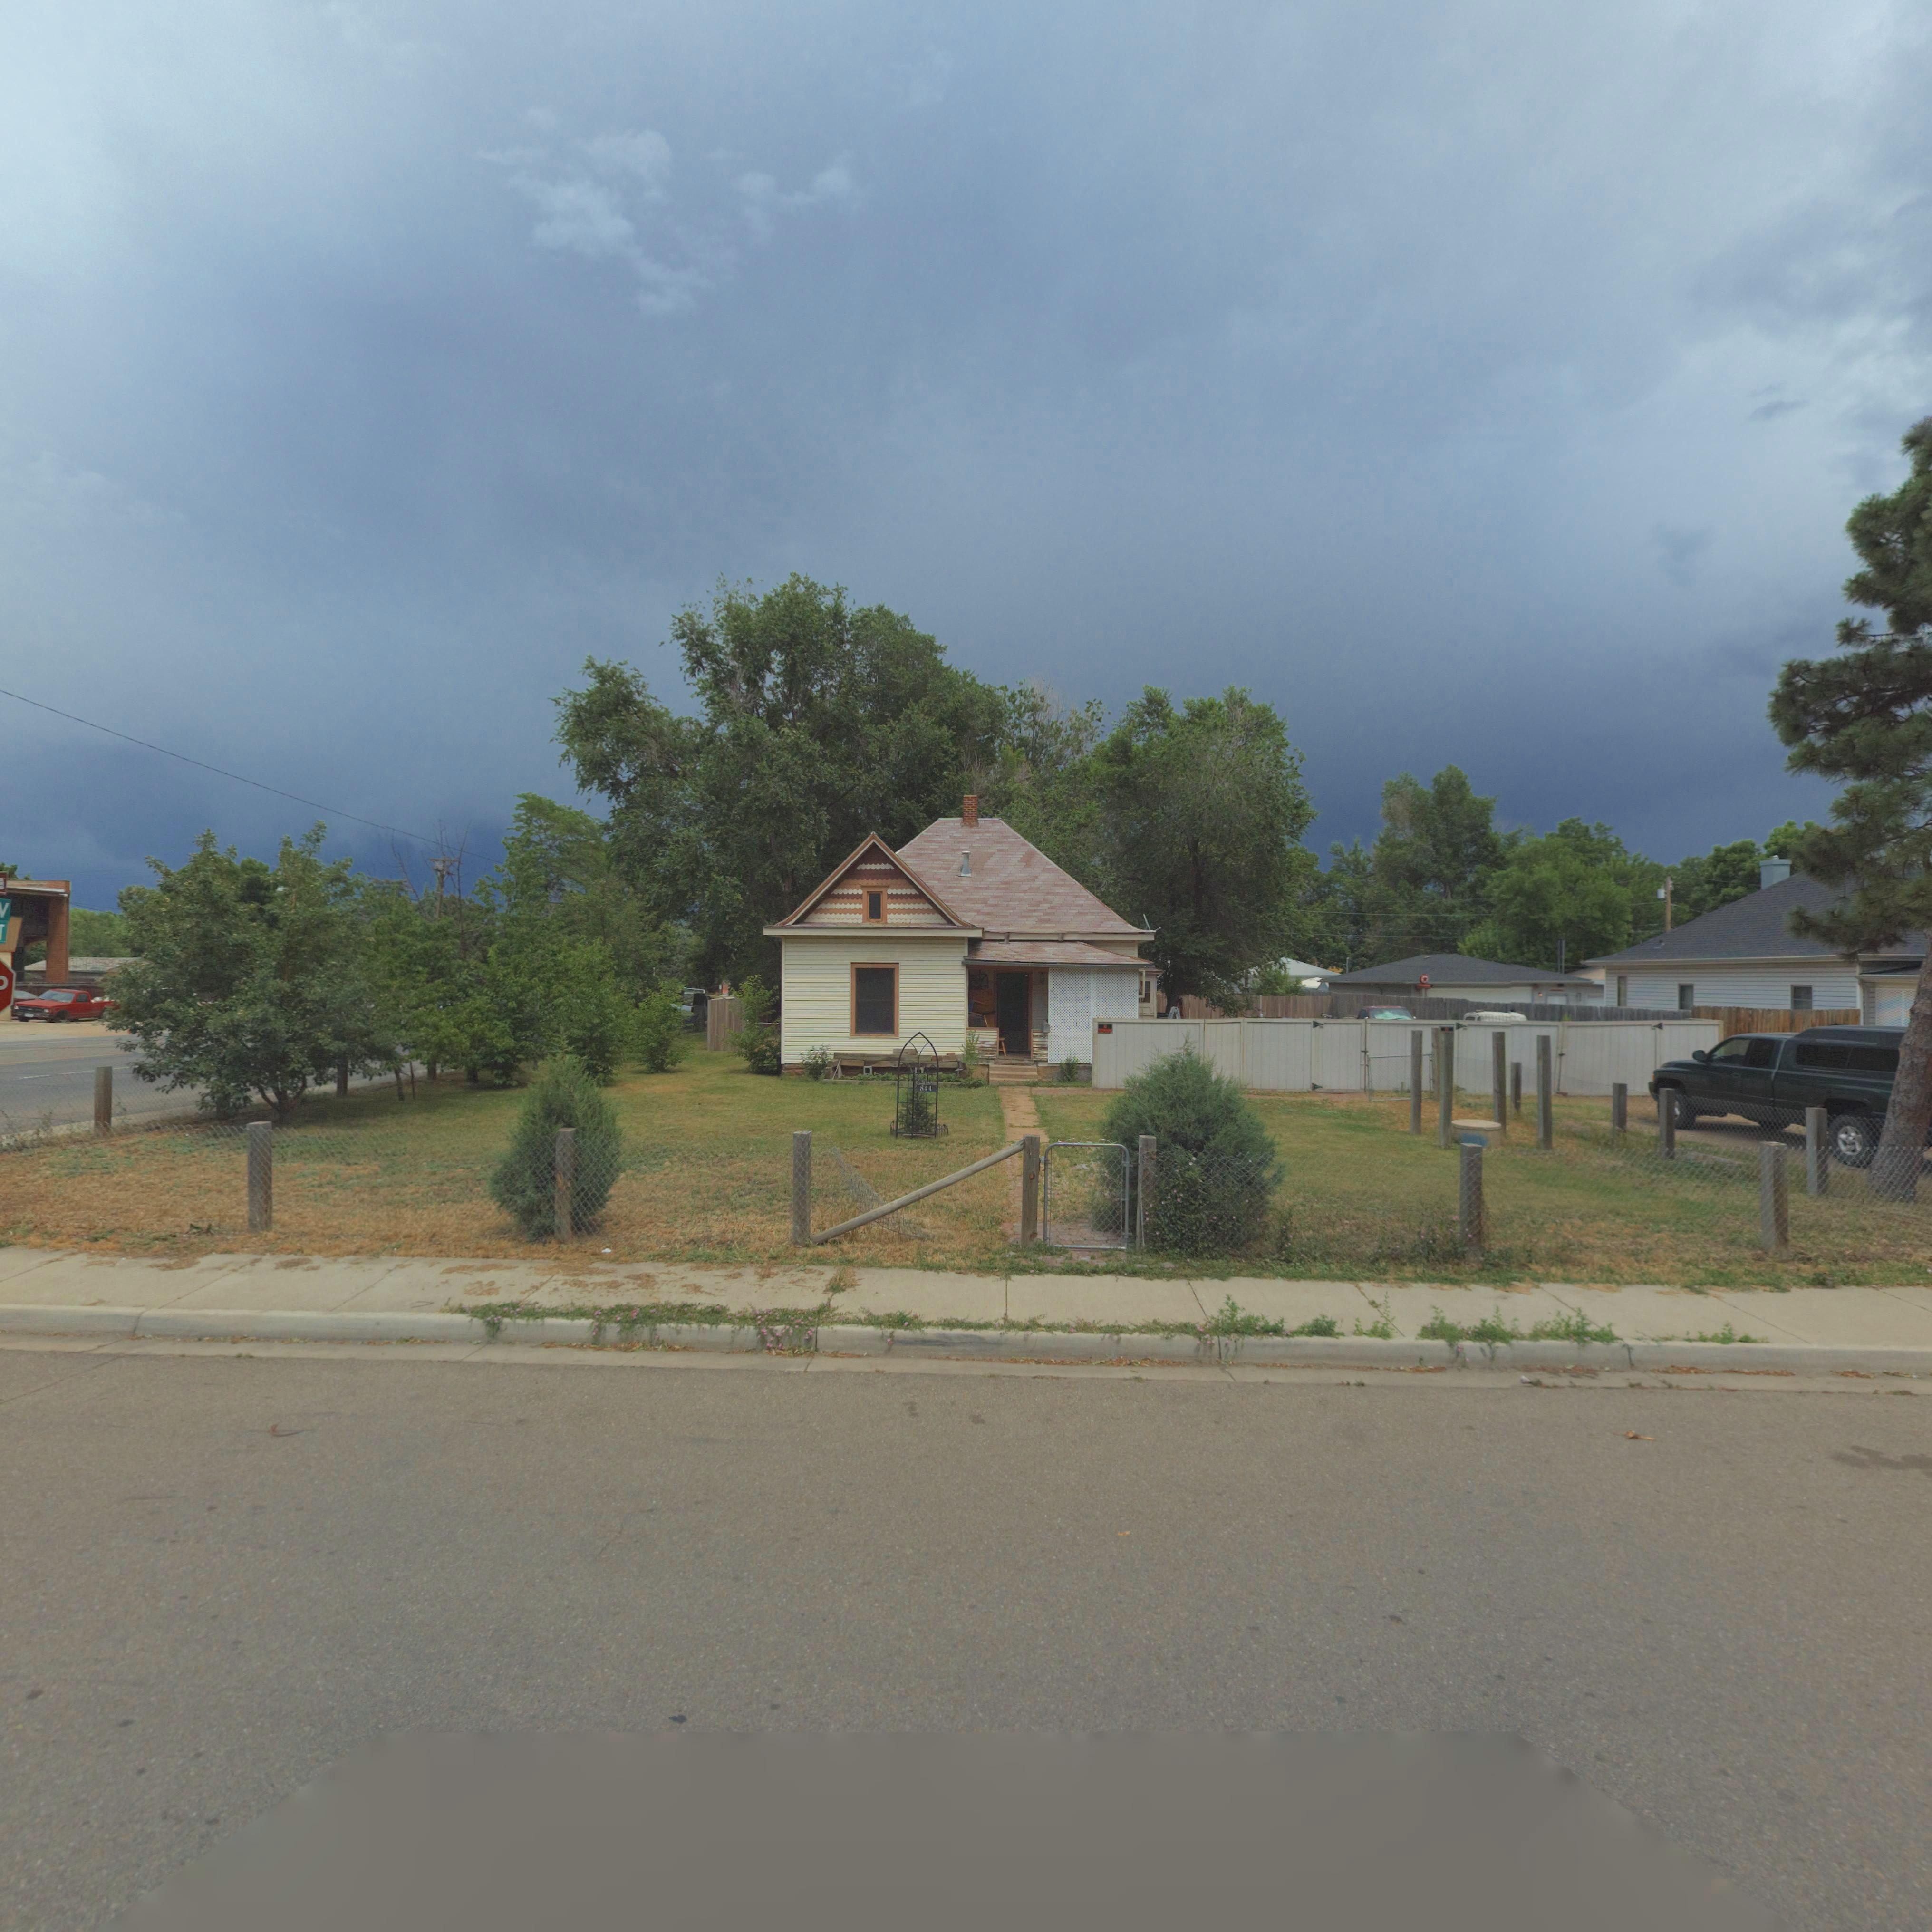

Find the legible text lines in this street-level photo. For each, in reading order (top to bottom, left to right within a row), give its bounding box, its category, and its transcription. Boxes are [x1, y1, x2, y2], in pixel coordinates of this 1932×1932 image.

[919, 1084, 932, 1092] StreetNumber: 844